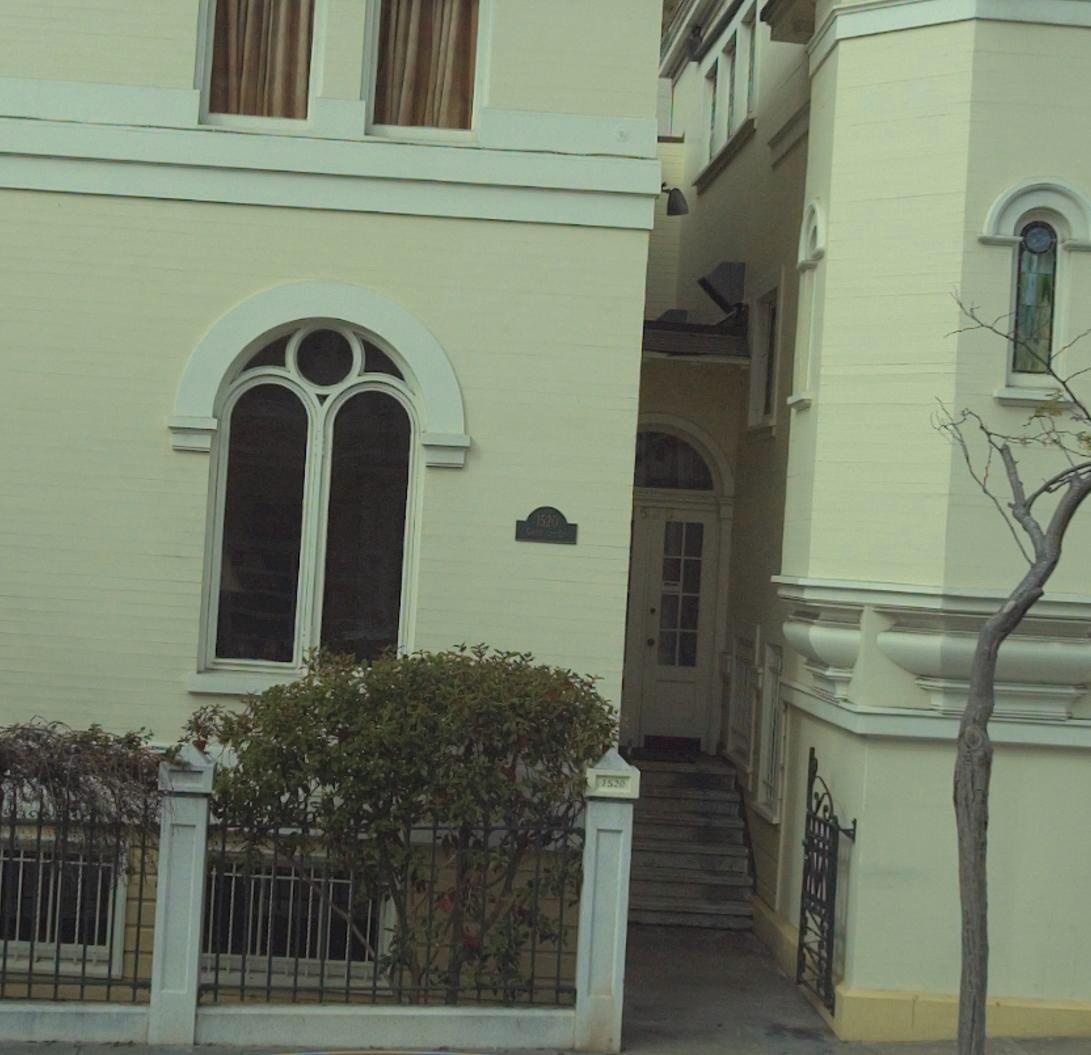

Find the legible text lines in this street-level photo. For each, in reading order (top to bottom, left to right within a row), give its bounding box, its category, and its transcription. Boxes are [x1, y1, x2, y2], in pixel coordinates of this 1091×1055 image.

[533, 511, 561, 531] StreetNumber: 1520
[638, 505, 676, 522] StreetNumber: 5*0